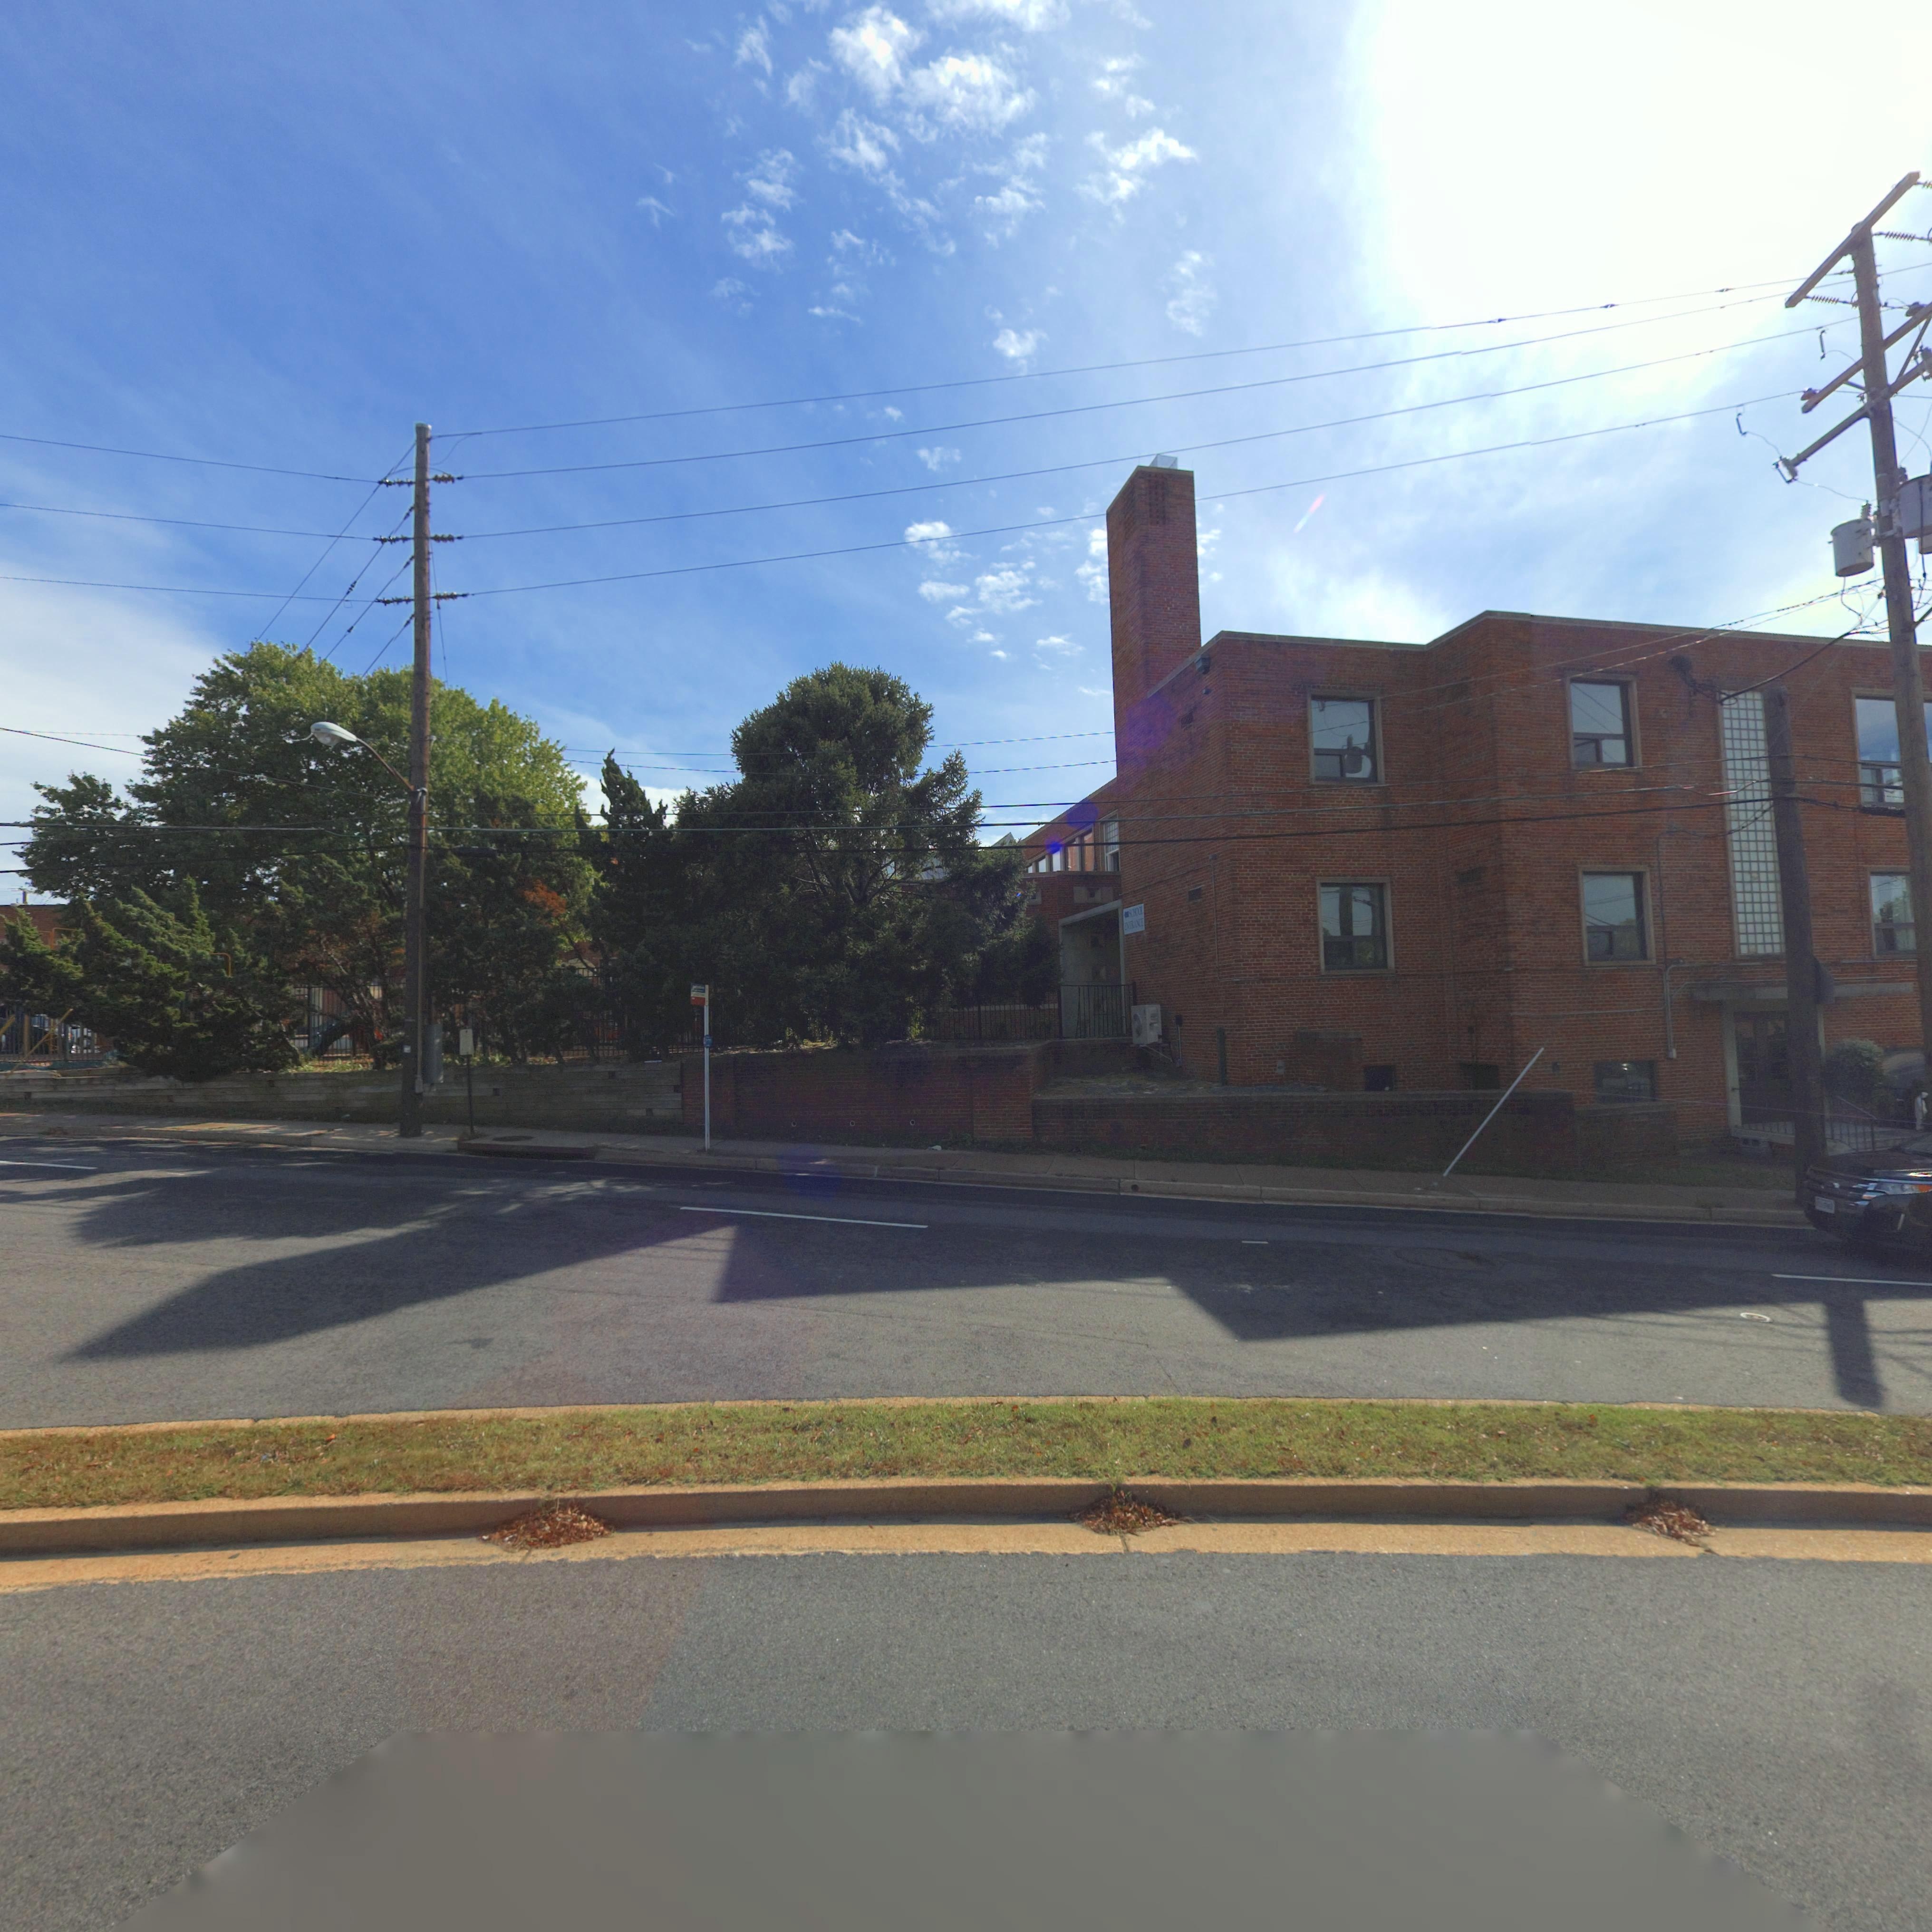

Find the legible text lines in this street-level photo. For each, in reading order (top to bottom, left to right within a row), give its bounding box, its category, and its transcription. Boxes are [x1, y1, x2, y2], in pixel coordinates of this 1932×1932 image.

[1128, 905, 1144, 918] None: SCHOOL
[1123, 917, 1144, 931] None: ENTRANCE
[1823, 1202, 1833, 1210] None: 7*3